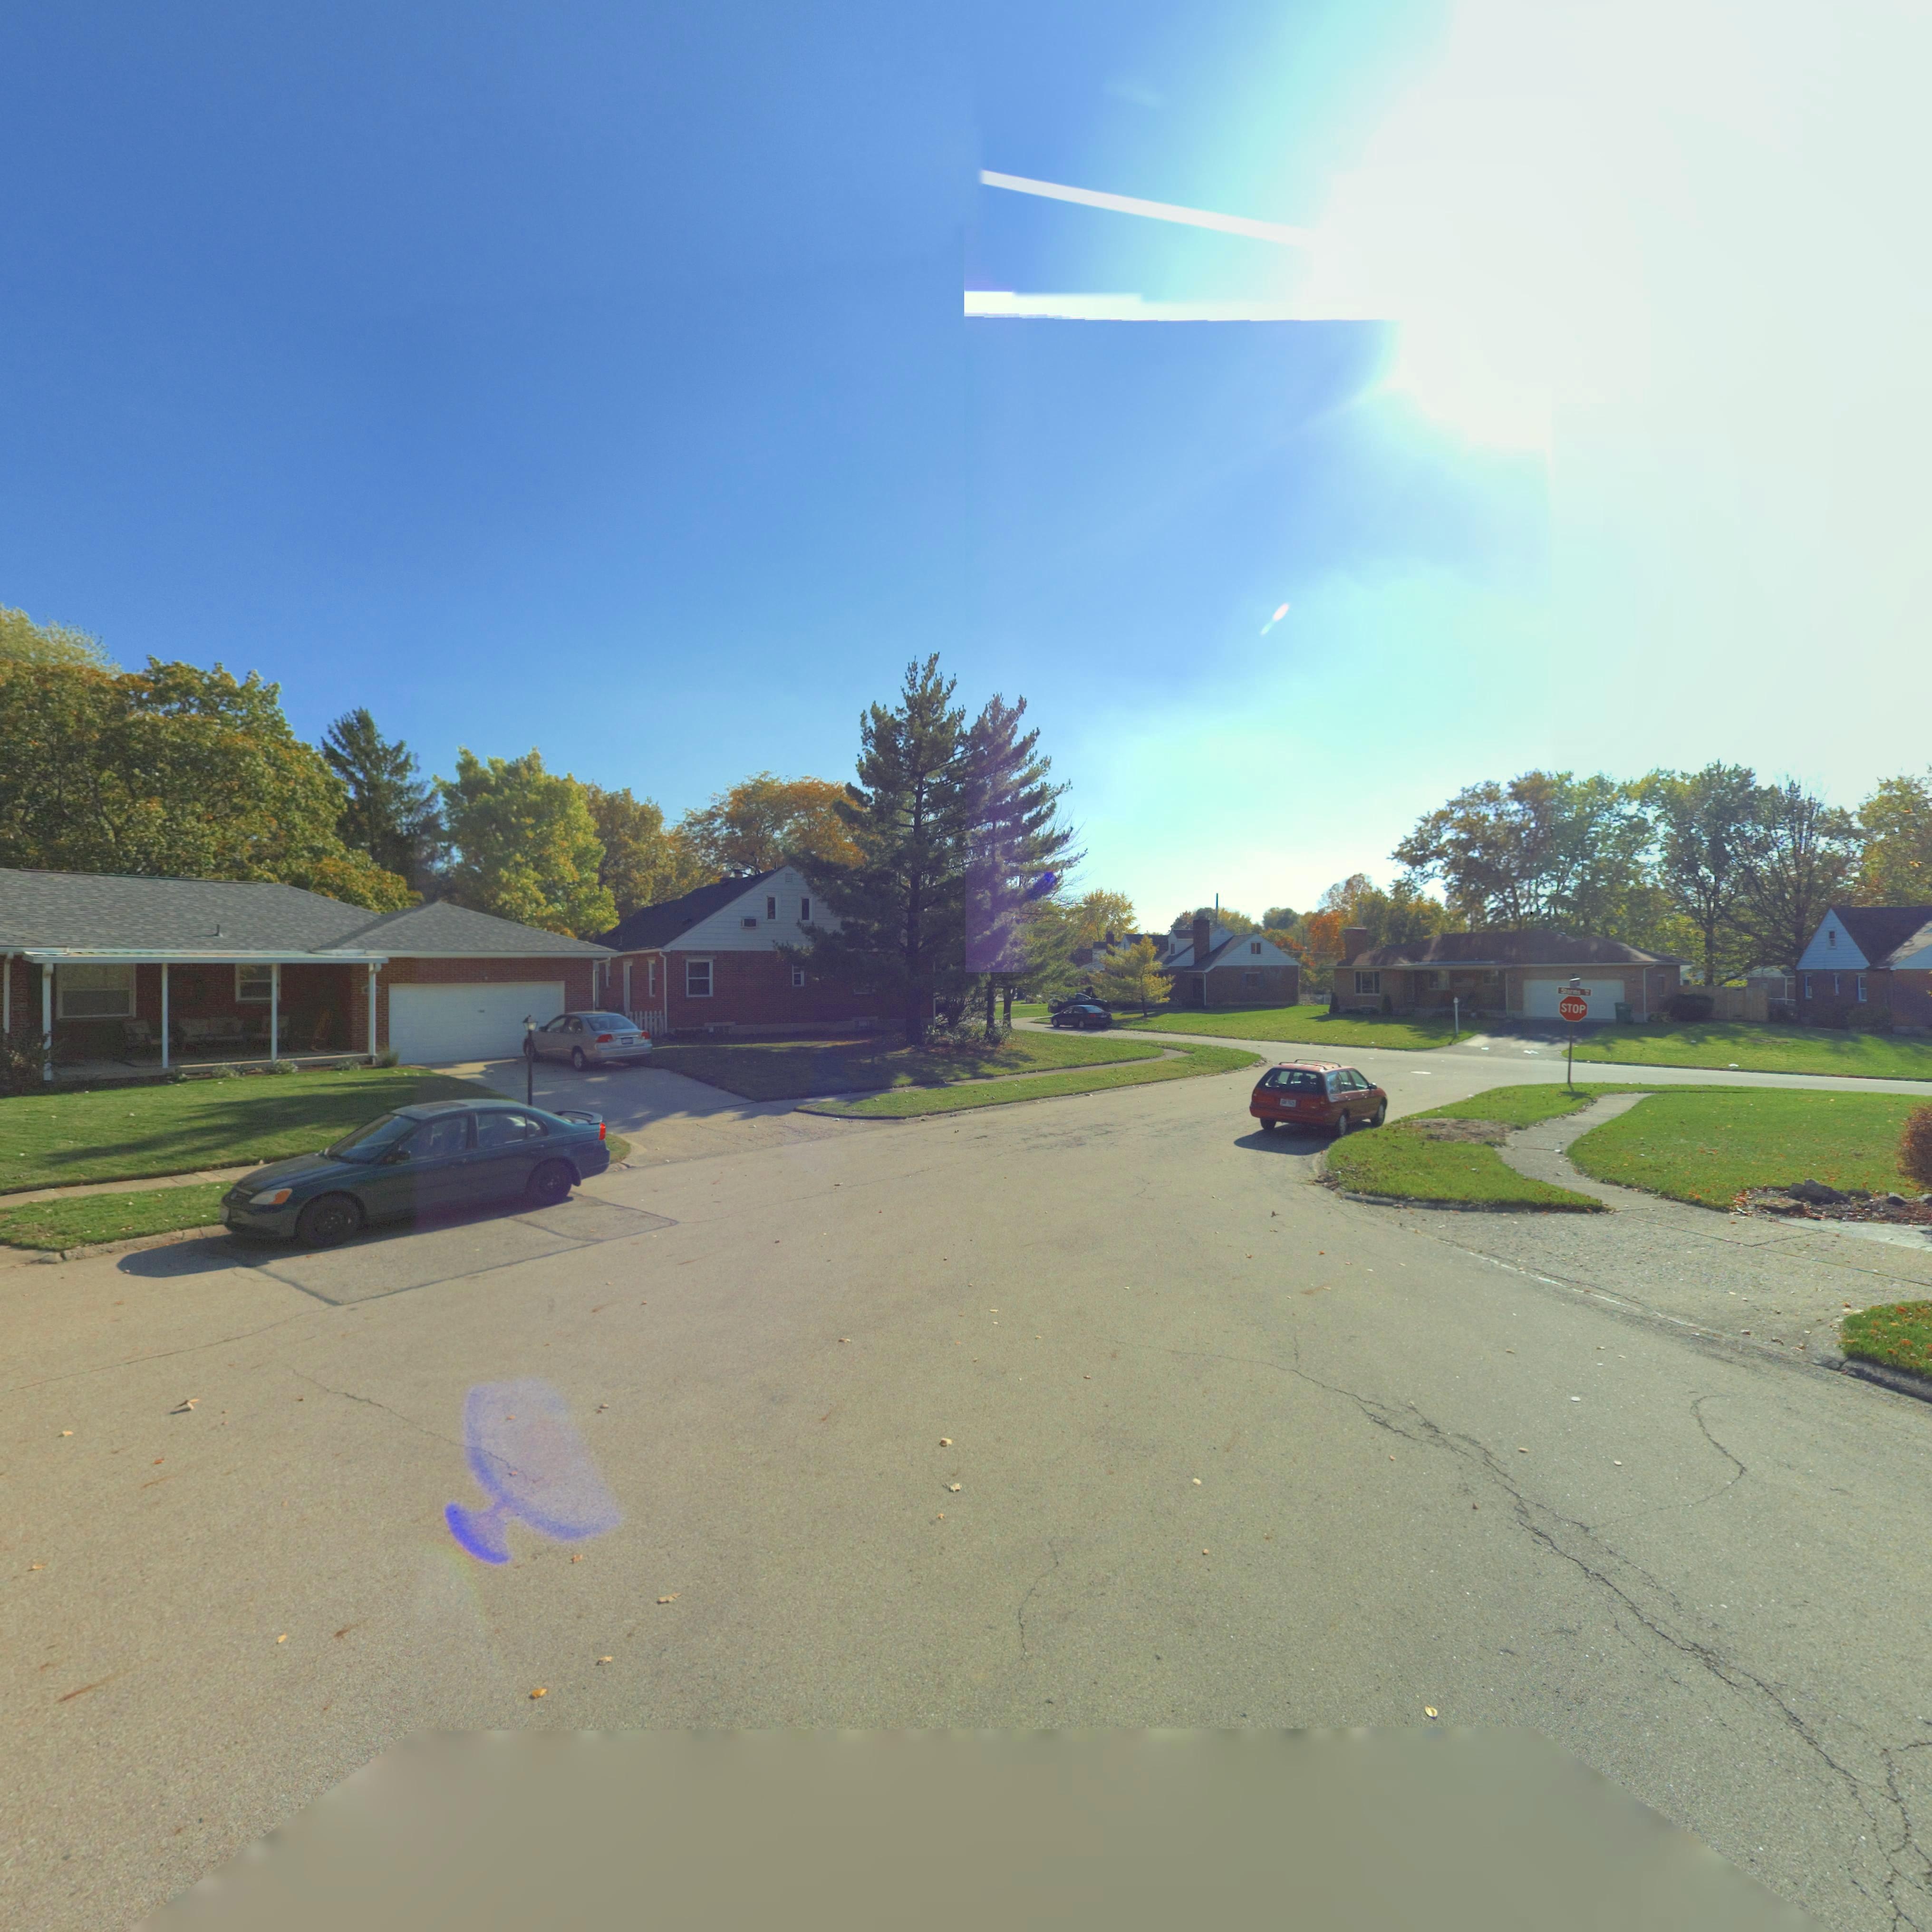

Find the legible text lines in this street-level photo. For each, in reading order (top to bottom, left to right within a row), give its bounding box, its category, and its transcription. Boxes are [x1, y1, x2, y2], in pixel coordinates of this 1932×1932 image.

[1560, 988, 1581, 995] None: Storms
[1560, 1003, 1587, 1014] None: STOP